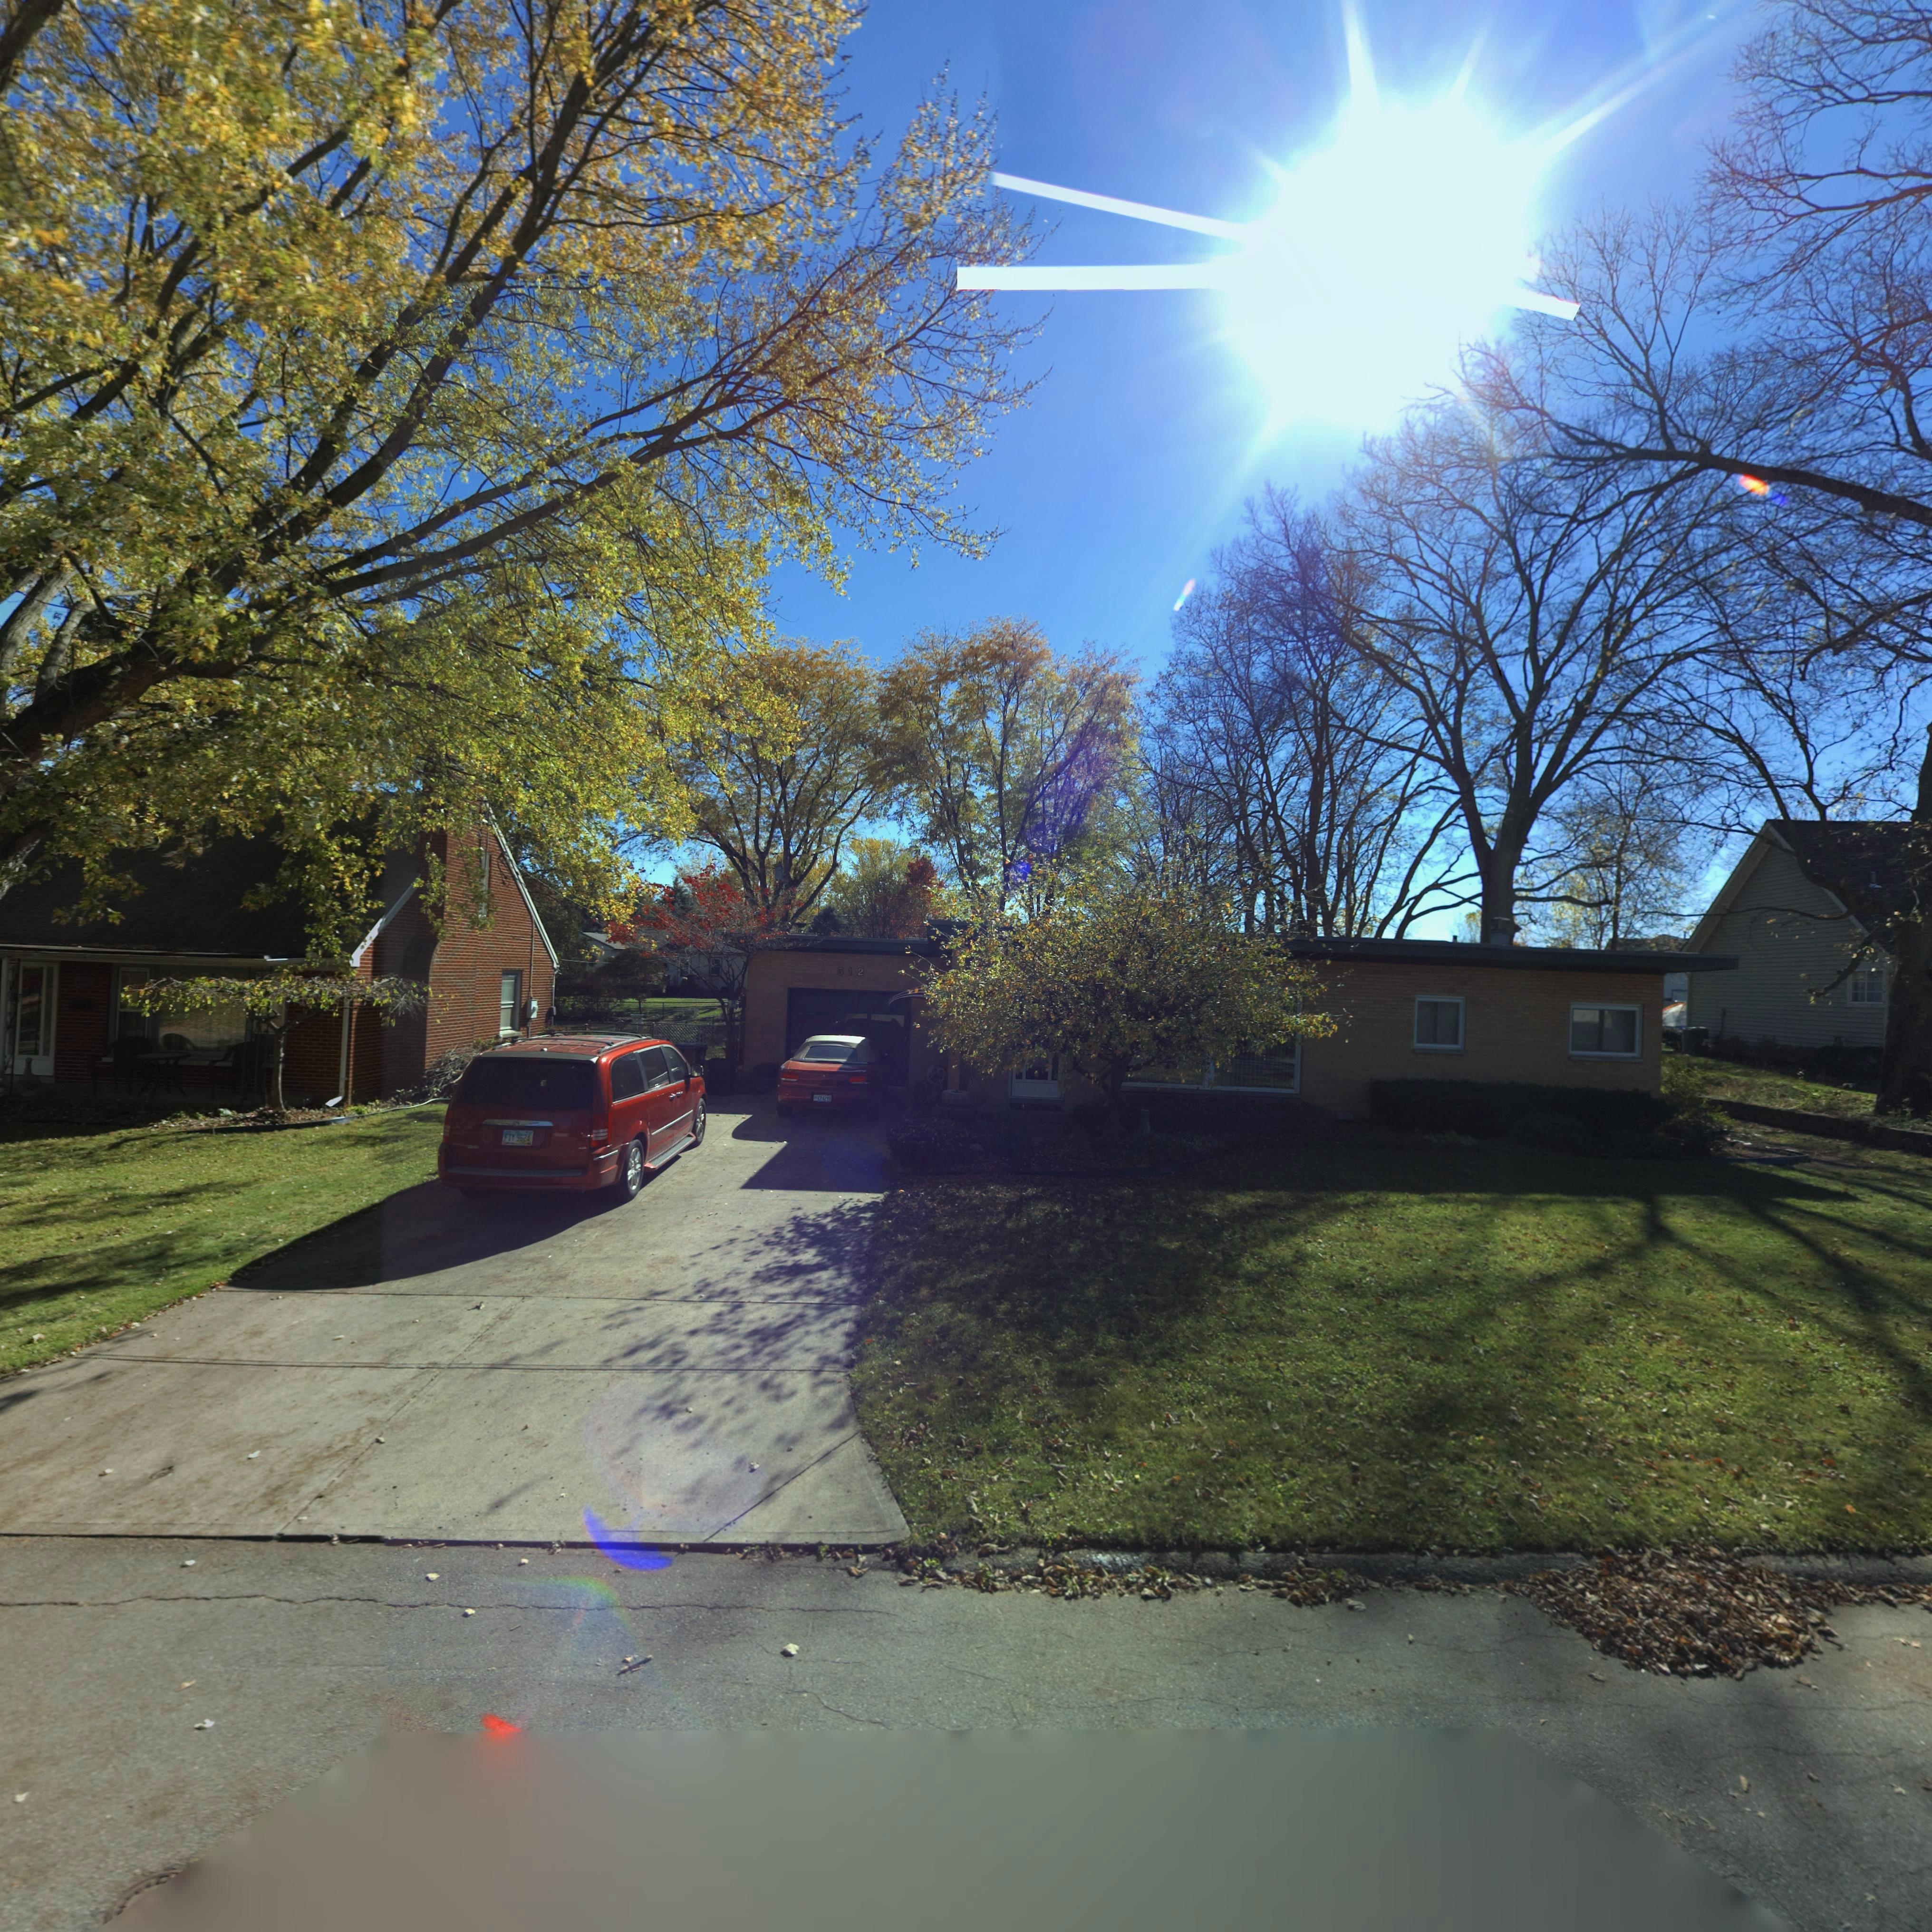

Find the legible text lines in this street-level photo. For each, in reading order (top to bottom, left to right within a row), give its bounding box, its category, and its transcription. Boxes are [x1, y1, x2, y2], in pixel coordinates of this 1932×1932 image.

[837, 966, 865, 976] StreetNumber: 312